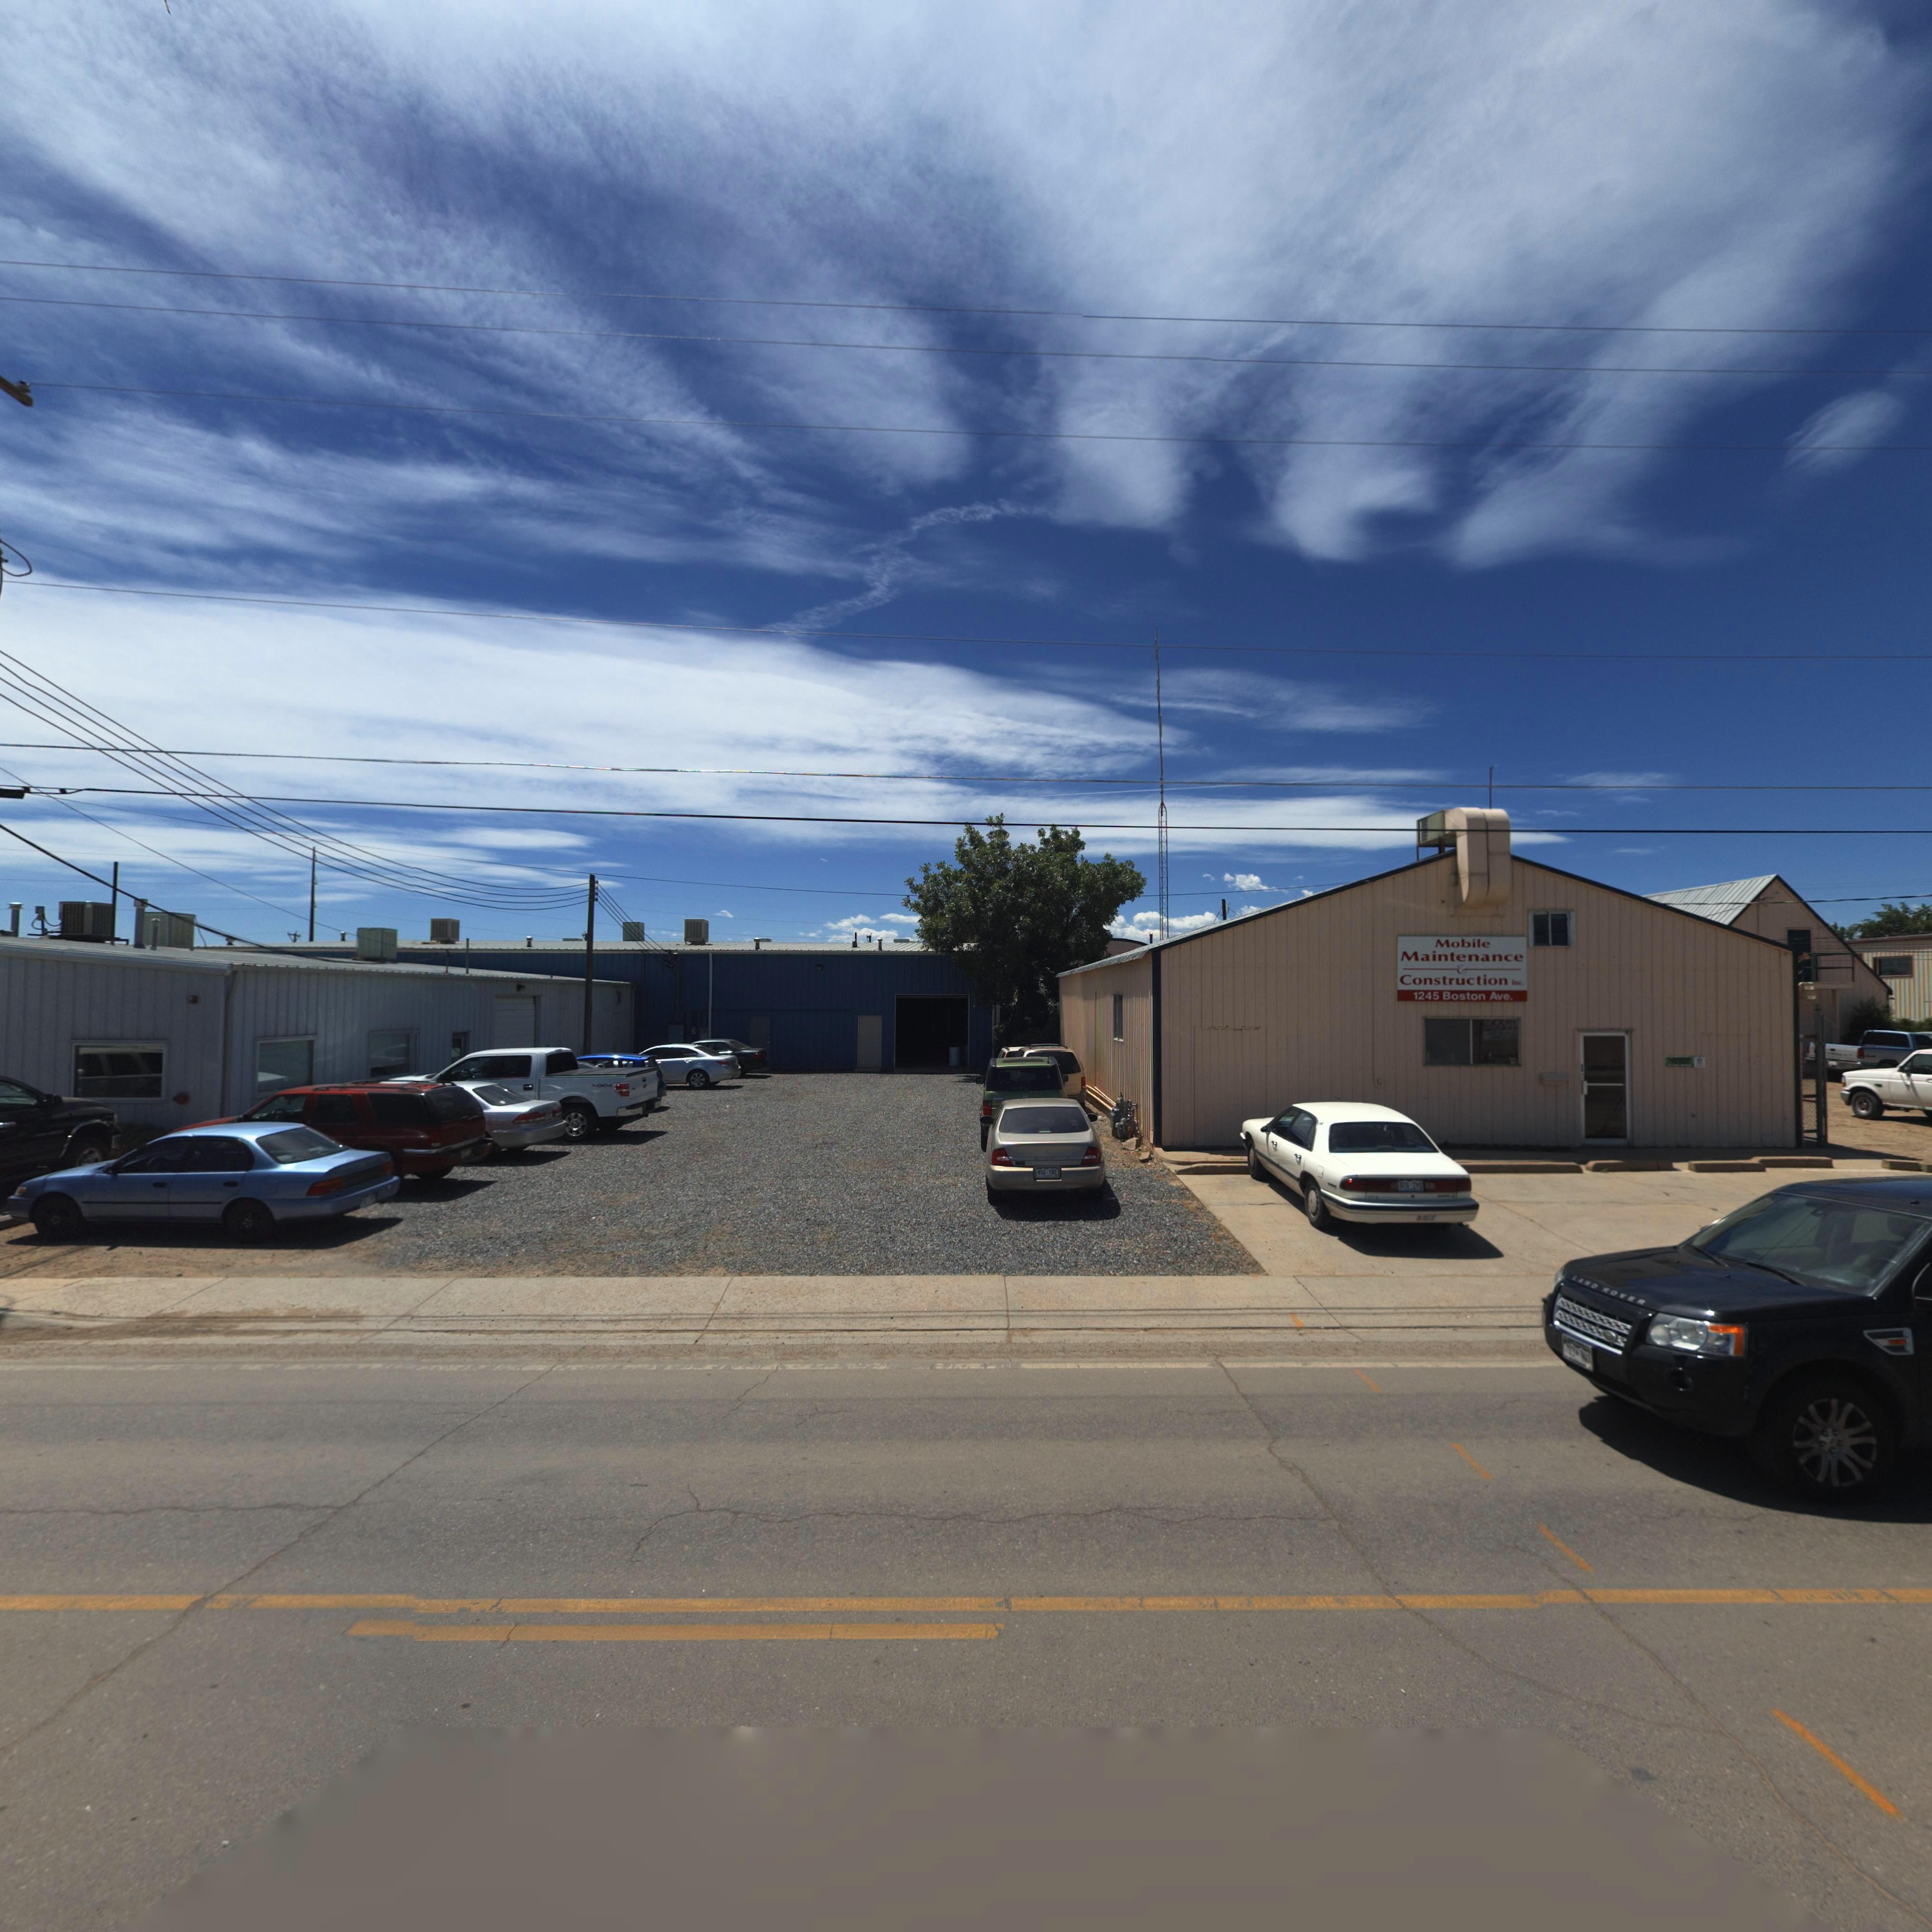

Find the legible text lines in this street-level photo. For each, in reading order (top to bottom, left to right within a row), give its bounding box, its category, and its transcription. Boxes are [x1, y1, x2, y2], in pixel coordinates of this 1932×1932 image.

[1434, 938, 1491, 948] BusinessName: Mobile
[1399, 950, 1524, 962] BusinessName: Maintenance
[1399, 974, 1508, 985] BusinessName: Construction
[1510, 978, 1525, 986] BusinessName: Inc.
[1412, 991, 1439, 1000] StreetNumber: 1245
[1442, 991, 1513, 1001] StreetName: Boston Ave*